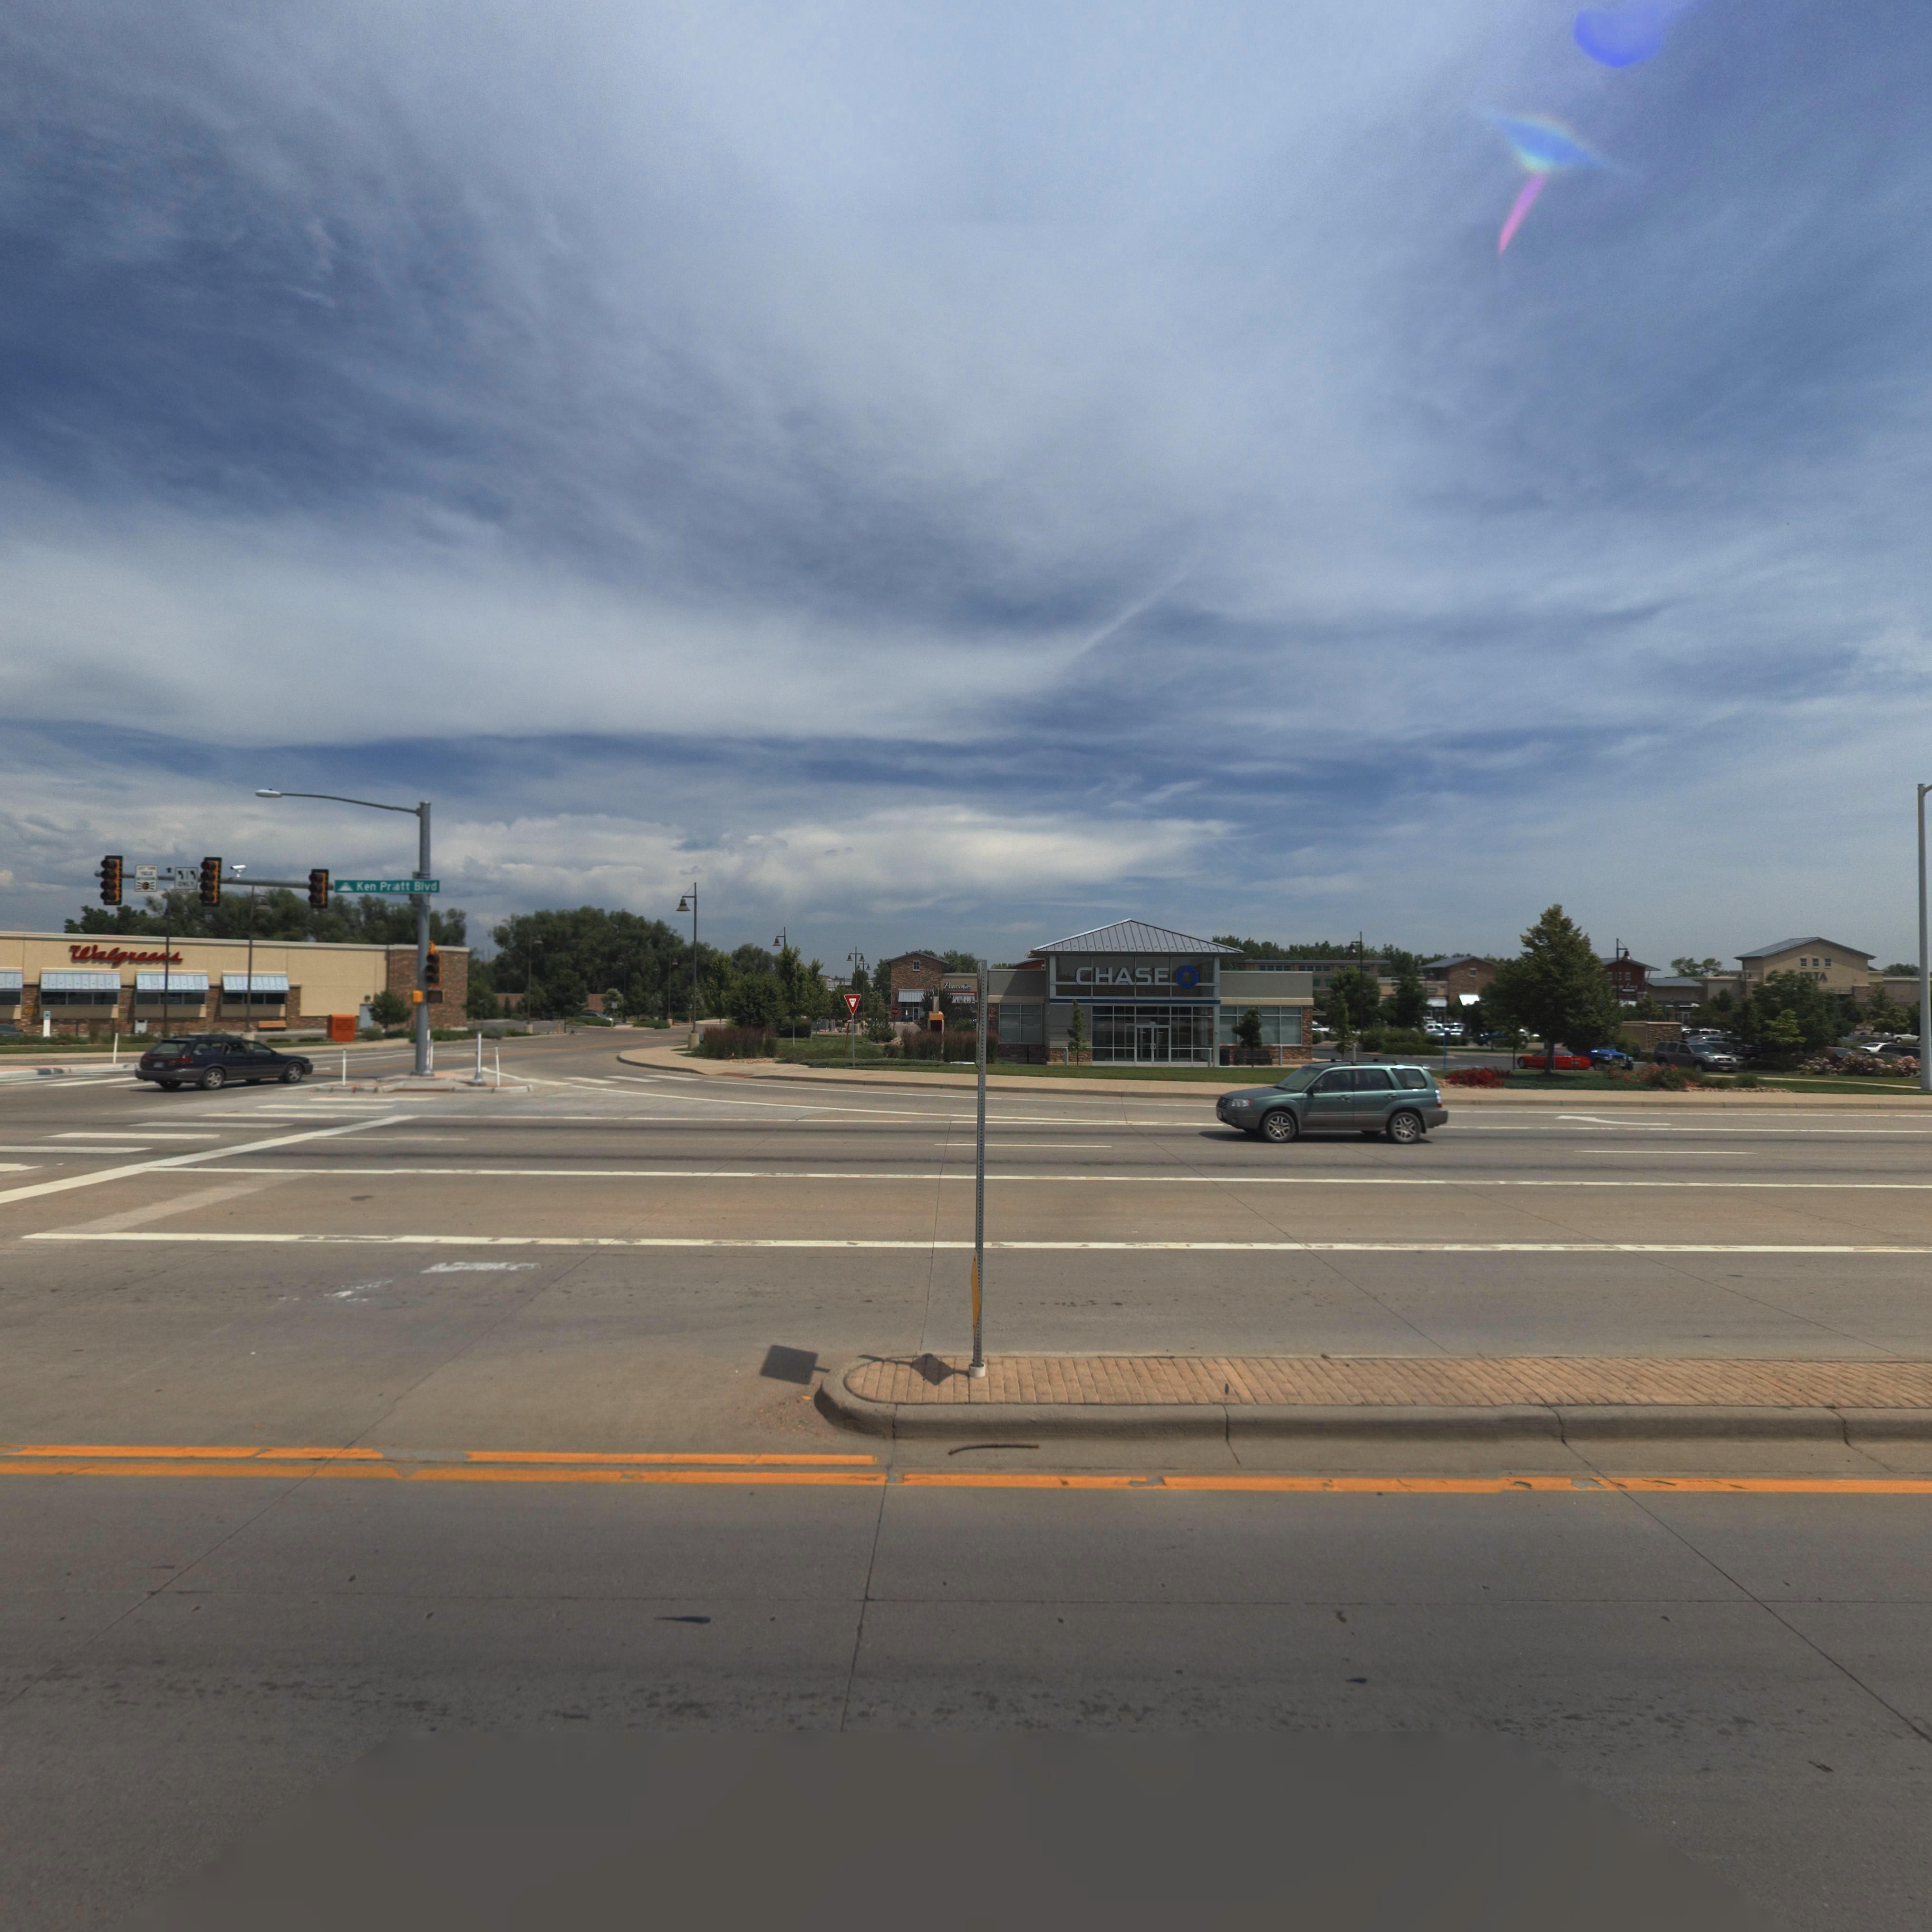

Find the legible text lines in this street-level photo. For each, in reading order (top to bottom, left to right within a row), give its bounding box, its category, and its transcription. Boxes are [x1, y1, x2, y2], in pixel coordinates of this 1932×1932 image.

[356, 881, 438, 891] StreetName: Ken Pr*att Blvd
[68, 944, 184, 966] BusinessName: Walgree*s
[1075, 966, 1170, 985] BusinessName: CHASE
[1812, 971, 1828, 981] BusinessName: TA
[943, 981, 972, 989] BusinessName: Pinocchi**